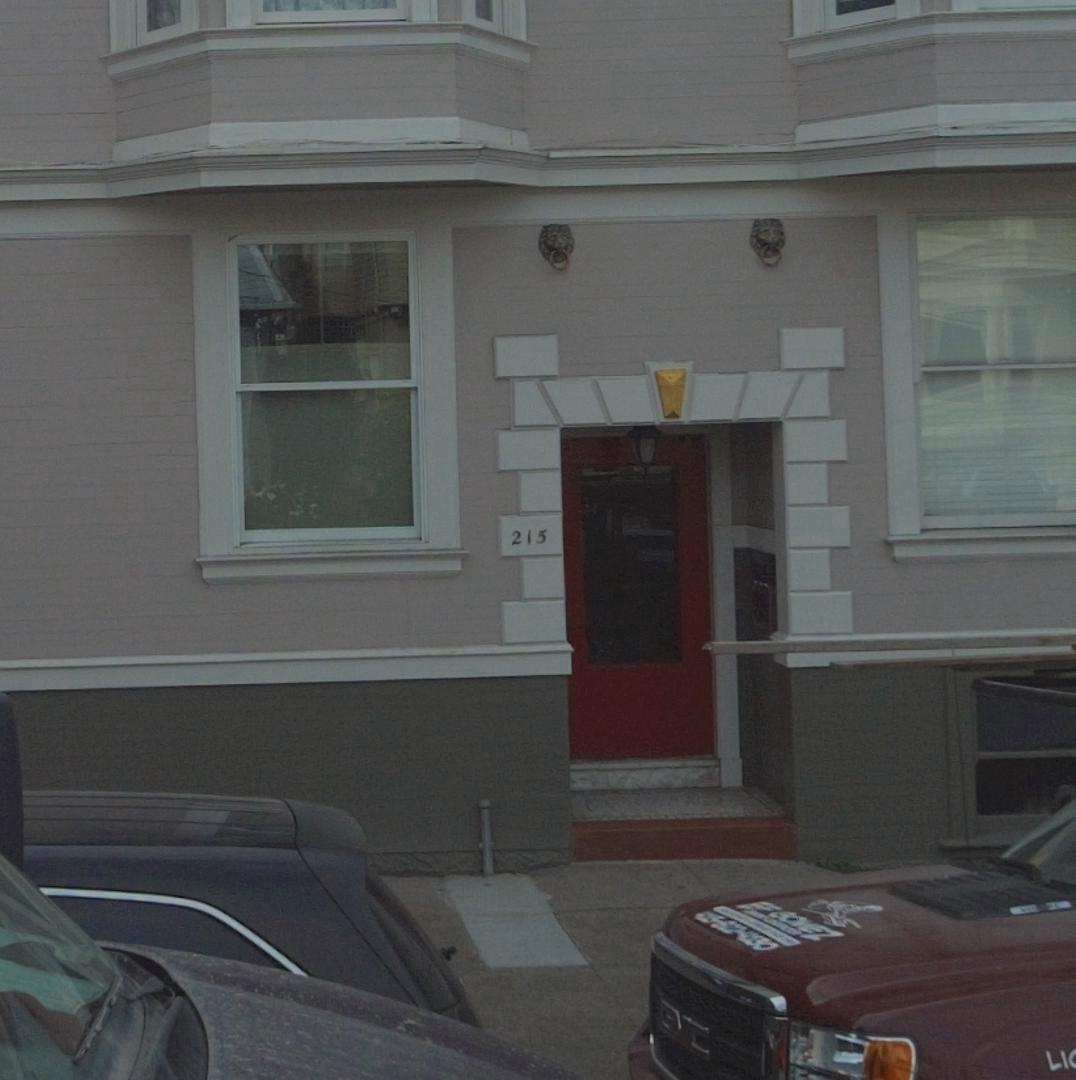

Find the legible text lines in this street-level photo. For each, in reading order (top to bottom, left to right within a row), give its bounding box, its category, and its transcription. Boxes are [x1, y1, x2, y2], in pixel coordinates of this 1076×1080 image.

[510, 528, 548, 547] StreetNumber: 215
[1041, 1044, 1073, 1076] None: LI